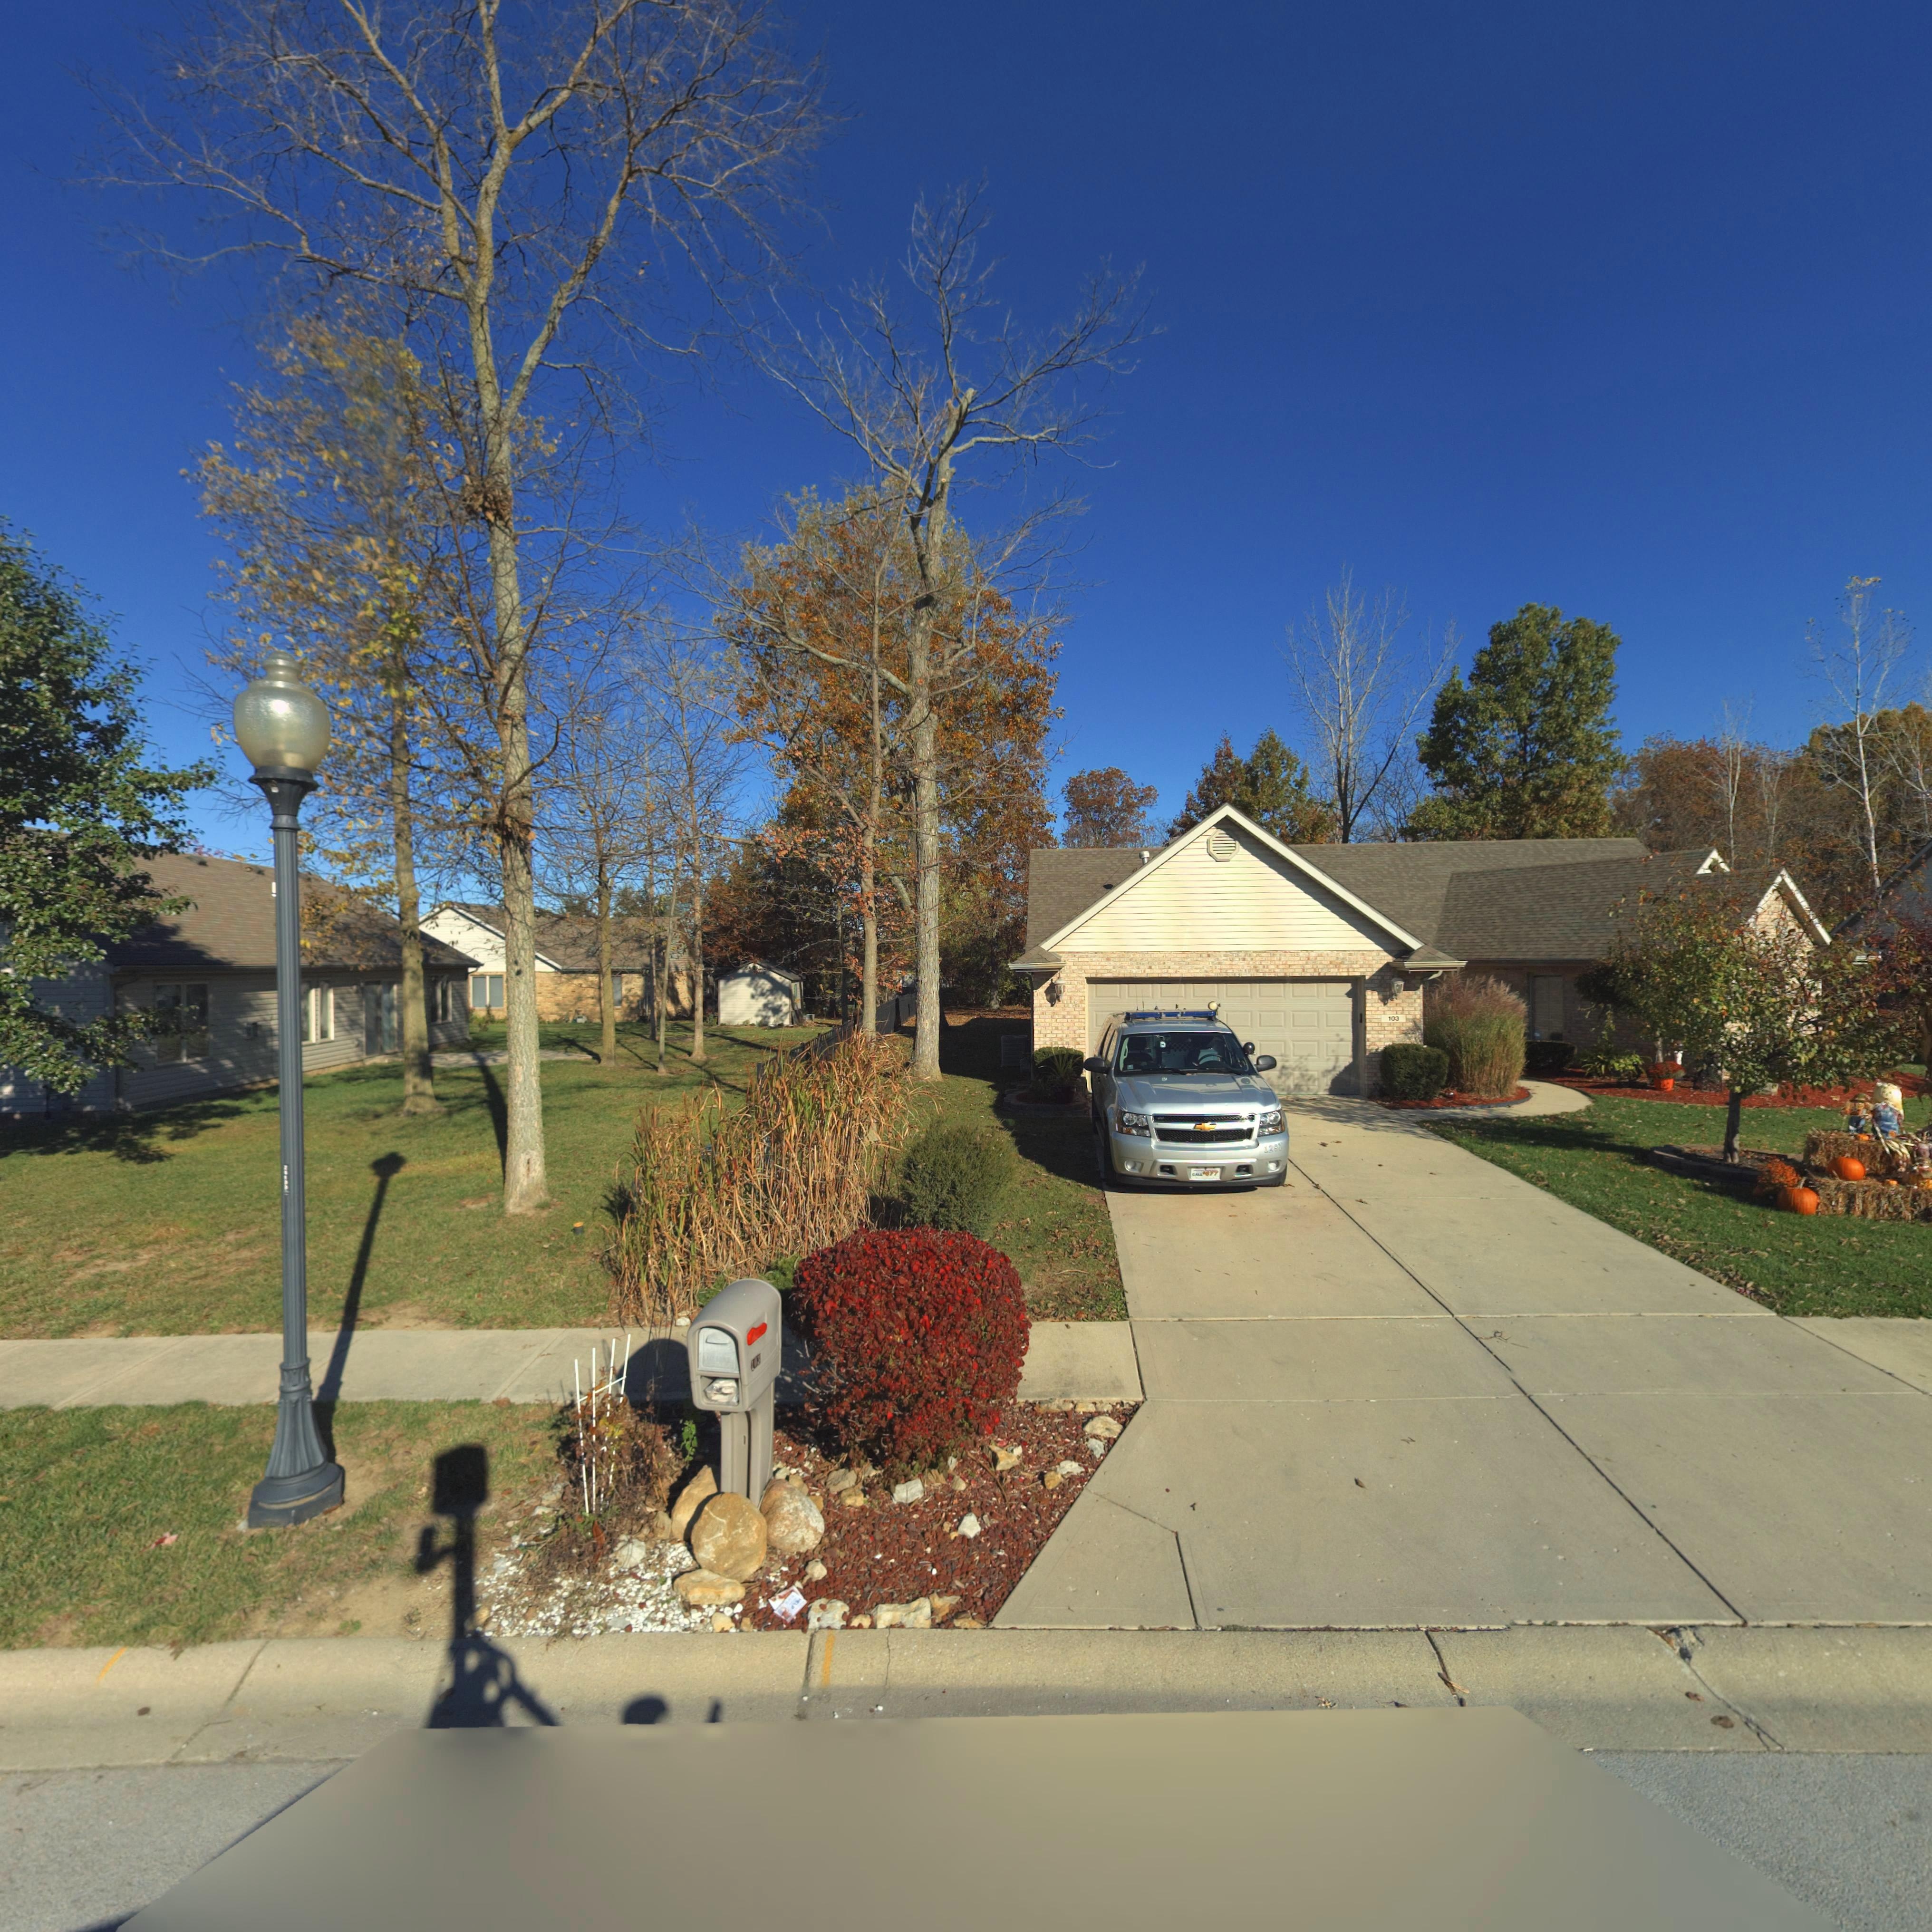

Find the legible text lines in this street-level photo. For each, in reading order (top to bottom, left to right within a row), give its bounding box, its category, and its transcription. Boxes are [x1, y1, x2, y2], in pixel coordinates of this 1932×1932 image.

[1388, 1015, 1400, 1022] StreetNumber: 103